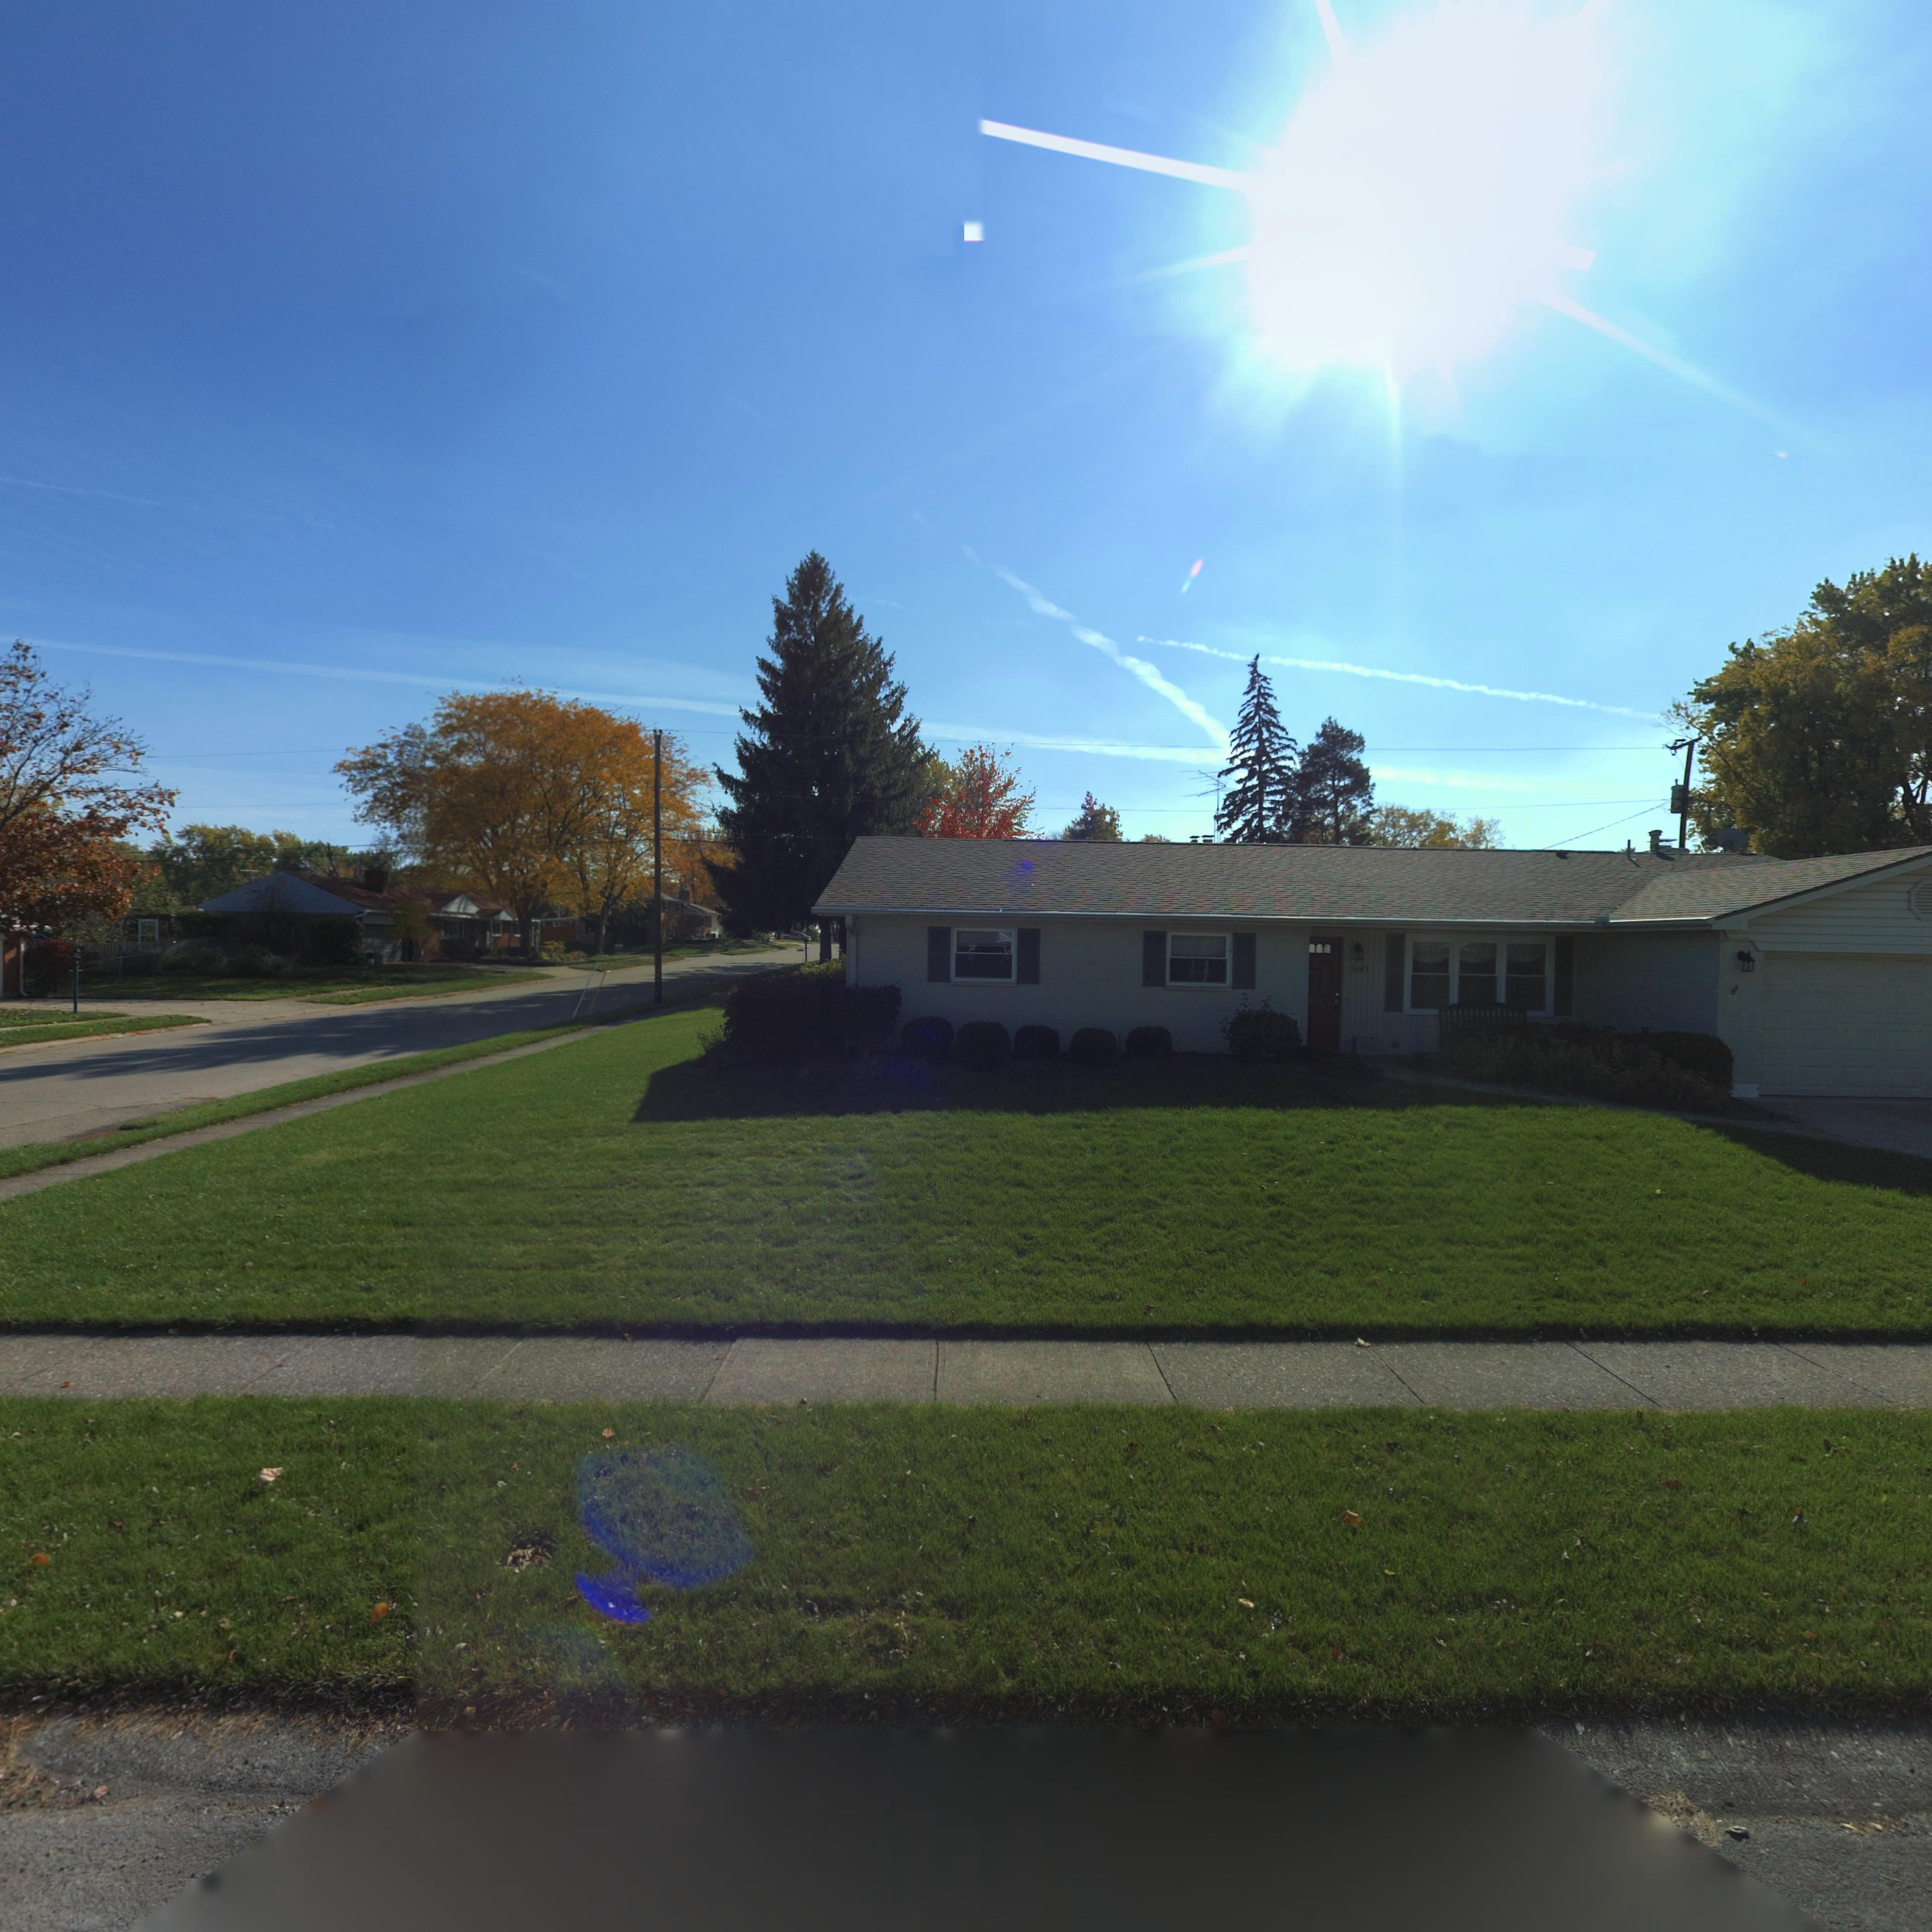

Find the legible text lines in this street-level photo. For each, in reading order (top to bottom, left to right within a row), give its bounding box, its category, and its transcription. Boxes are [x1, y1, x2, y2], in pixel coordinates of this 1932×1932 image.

[1350, 965, 1368, 973] StreetNumber: 980